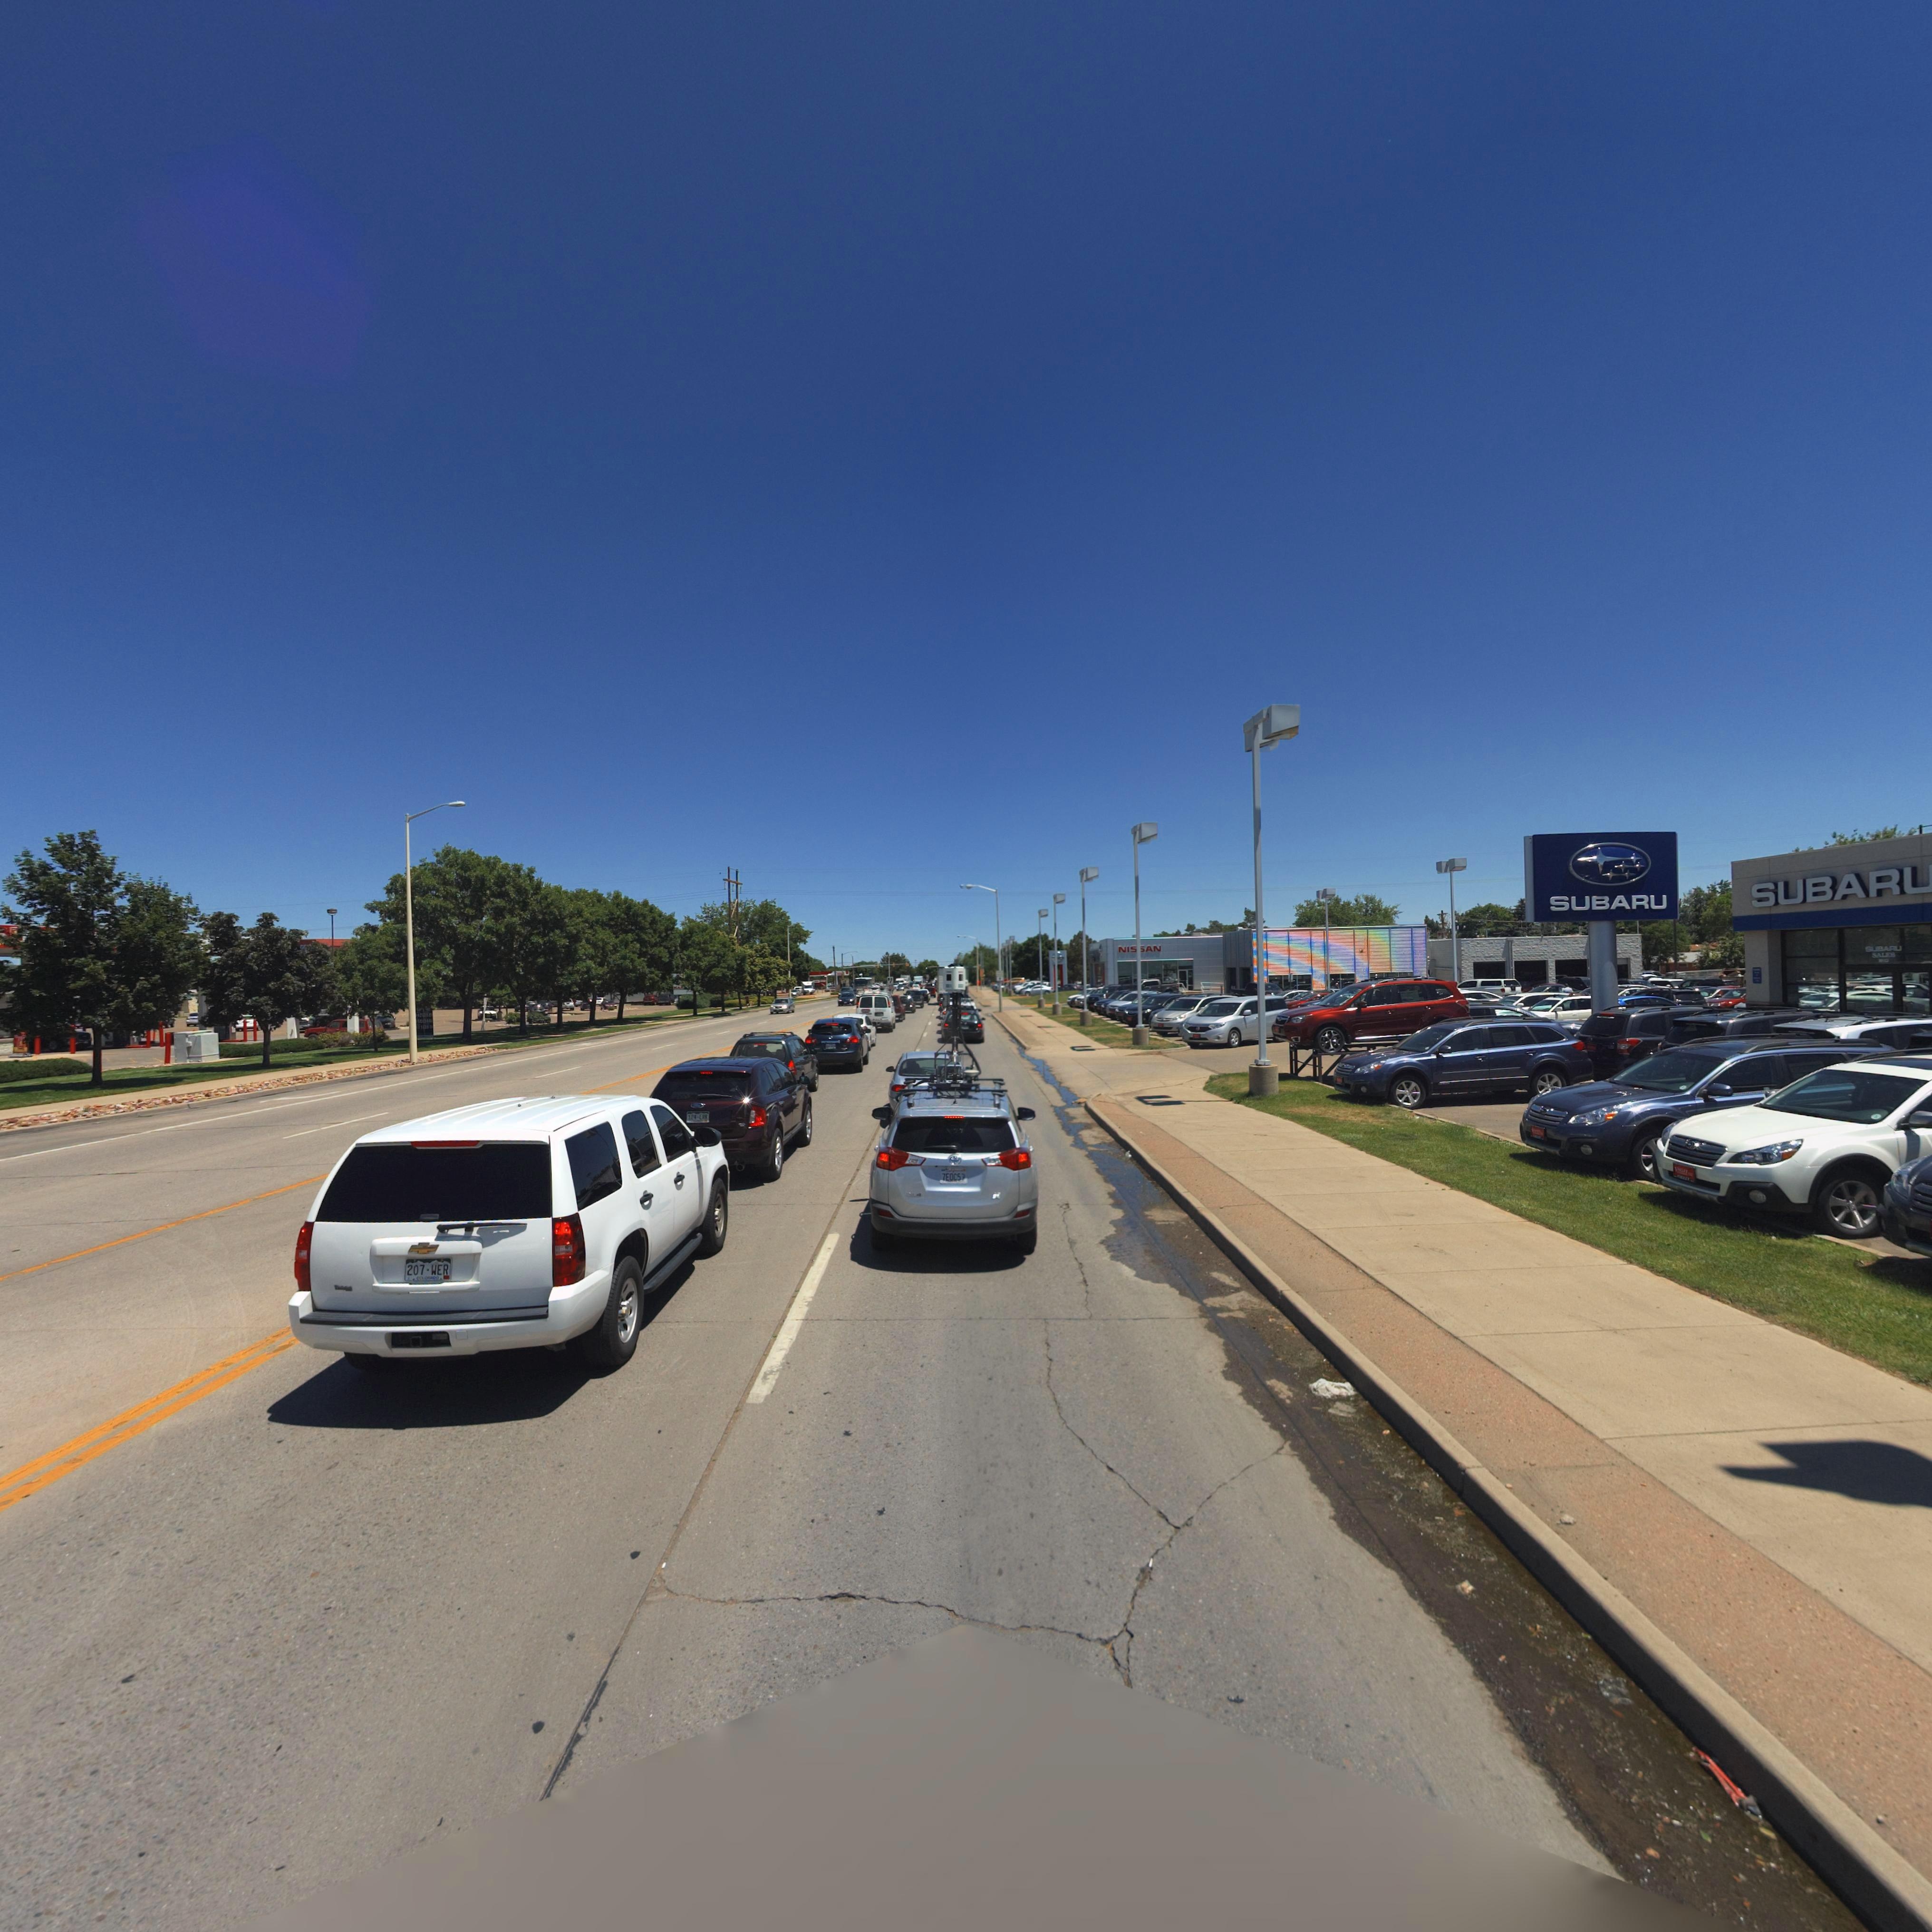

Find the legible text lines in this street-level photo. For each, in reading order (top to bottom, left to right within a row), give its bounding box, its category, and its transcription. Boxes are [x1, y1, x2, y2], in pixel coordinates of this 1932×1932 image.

[1750, 867, 1902, 908] BusinessName: SUBARU
[1549, 894, 1667, 911] BusinessName: SUBARU
[1117, 945, 1161, 953] BusinessName: NIS*AN
[1865, 945, 1902, 952] BusinessName: SUBARU
[1872, 952, 1895, 958] BusinessName: SALES